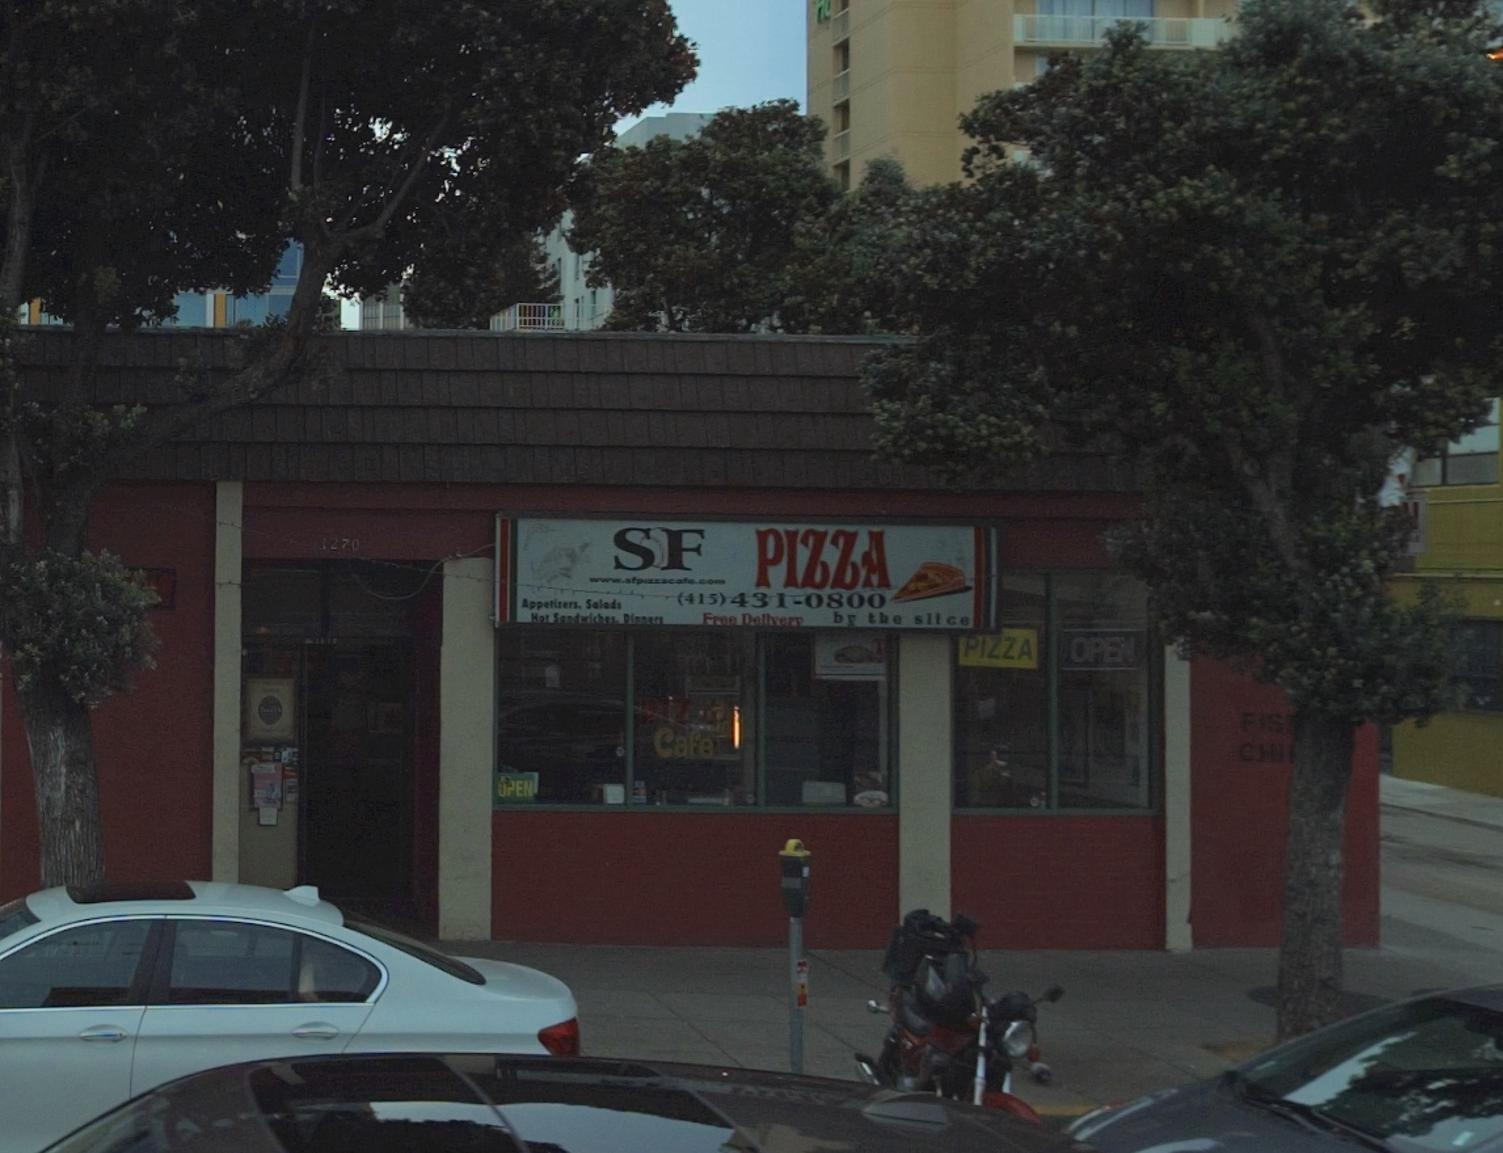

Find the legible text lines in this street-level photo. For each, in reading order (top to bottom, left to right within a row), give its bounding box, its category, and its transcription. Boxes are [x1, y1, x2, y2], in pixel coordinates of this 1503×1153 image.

[318, 535, 363, 554] StreetNumber: 1270
[609, 523, 708, 576] BusinessName: SF
[748, 521, 896, 594] BusinessName: PIZZA
[587, 574, 728, 588] None: www.sfpizzacafe.com
[518, 595, 625, 612] None: Appetizers, Salads
[680, 589, 890, 611] None: 415)431-0800
[529, 610, 666, 626] None: Hot Sandwiches, Dinners
[700, 609, 806, 635] None: Free Delivery
[831, 608, 972, 631] None: by the slice
[959, 631, 1036, 663] None: PIZZA
[1067, 633, 1139, 666] None: OPEN
[637, 694, 696, 728] None: PIZ
[1238, 709, 1288, 736] None: FIS
[651, 724, 717, 762] None: Cafe
[1236, 739, 1286, 767] None: CHI
[496, 776, 535, 800] None: OPEN